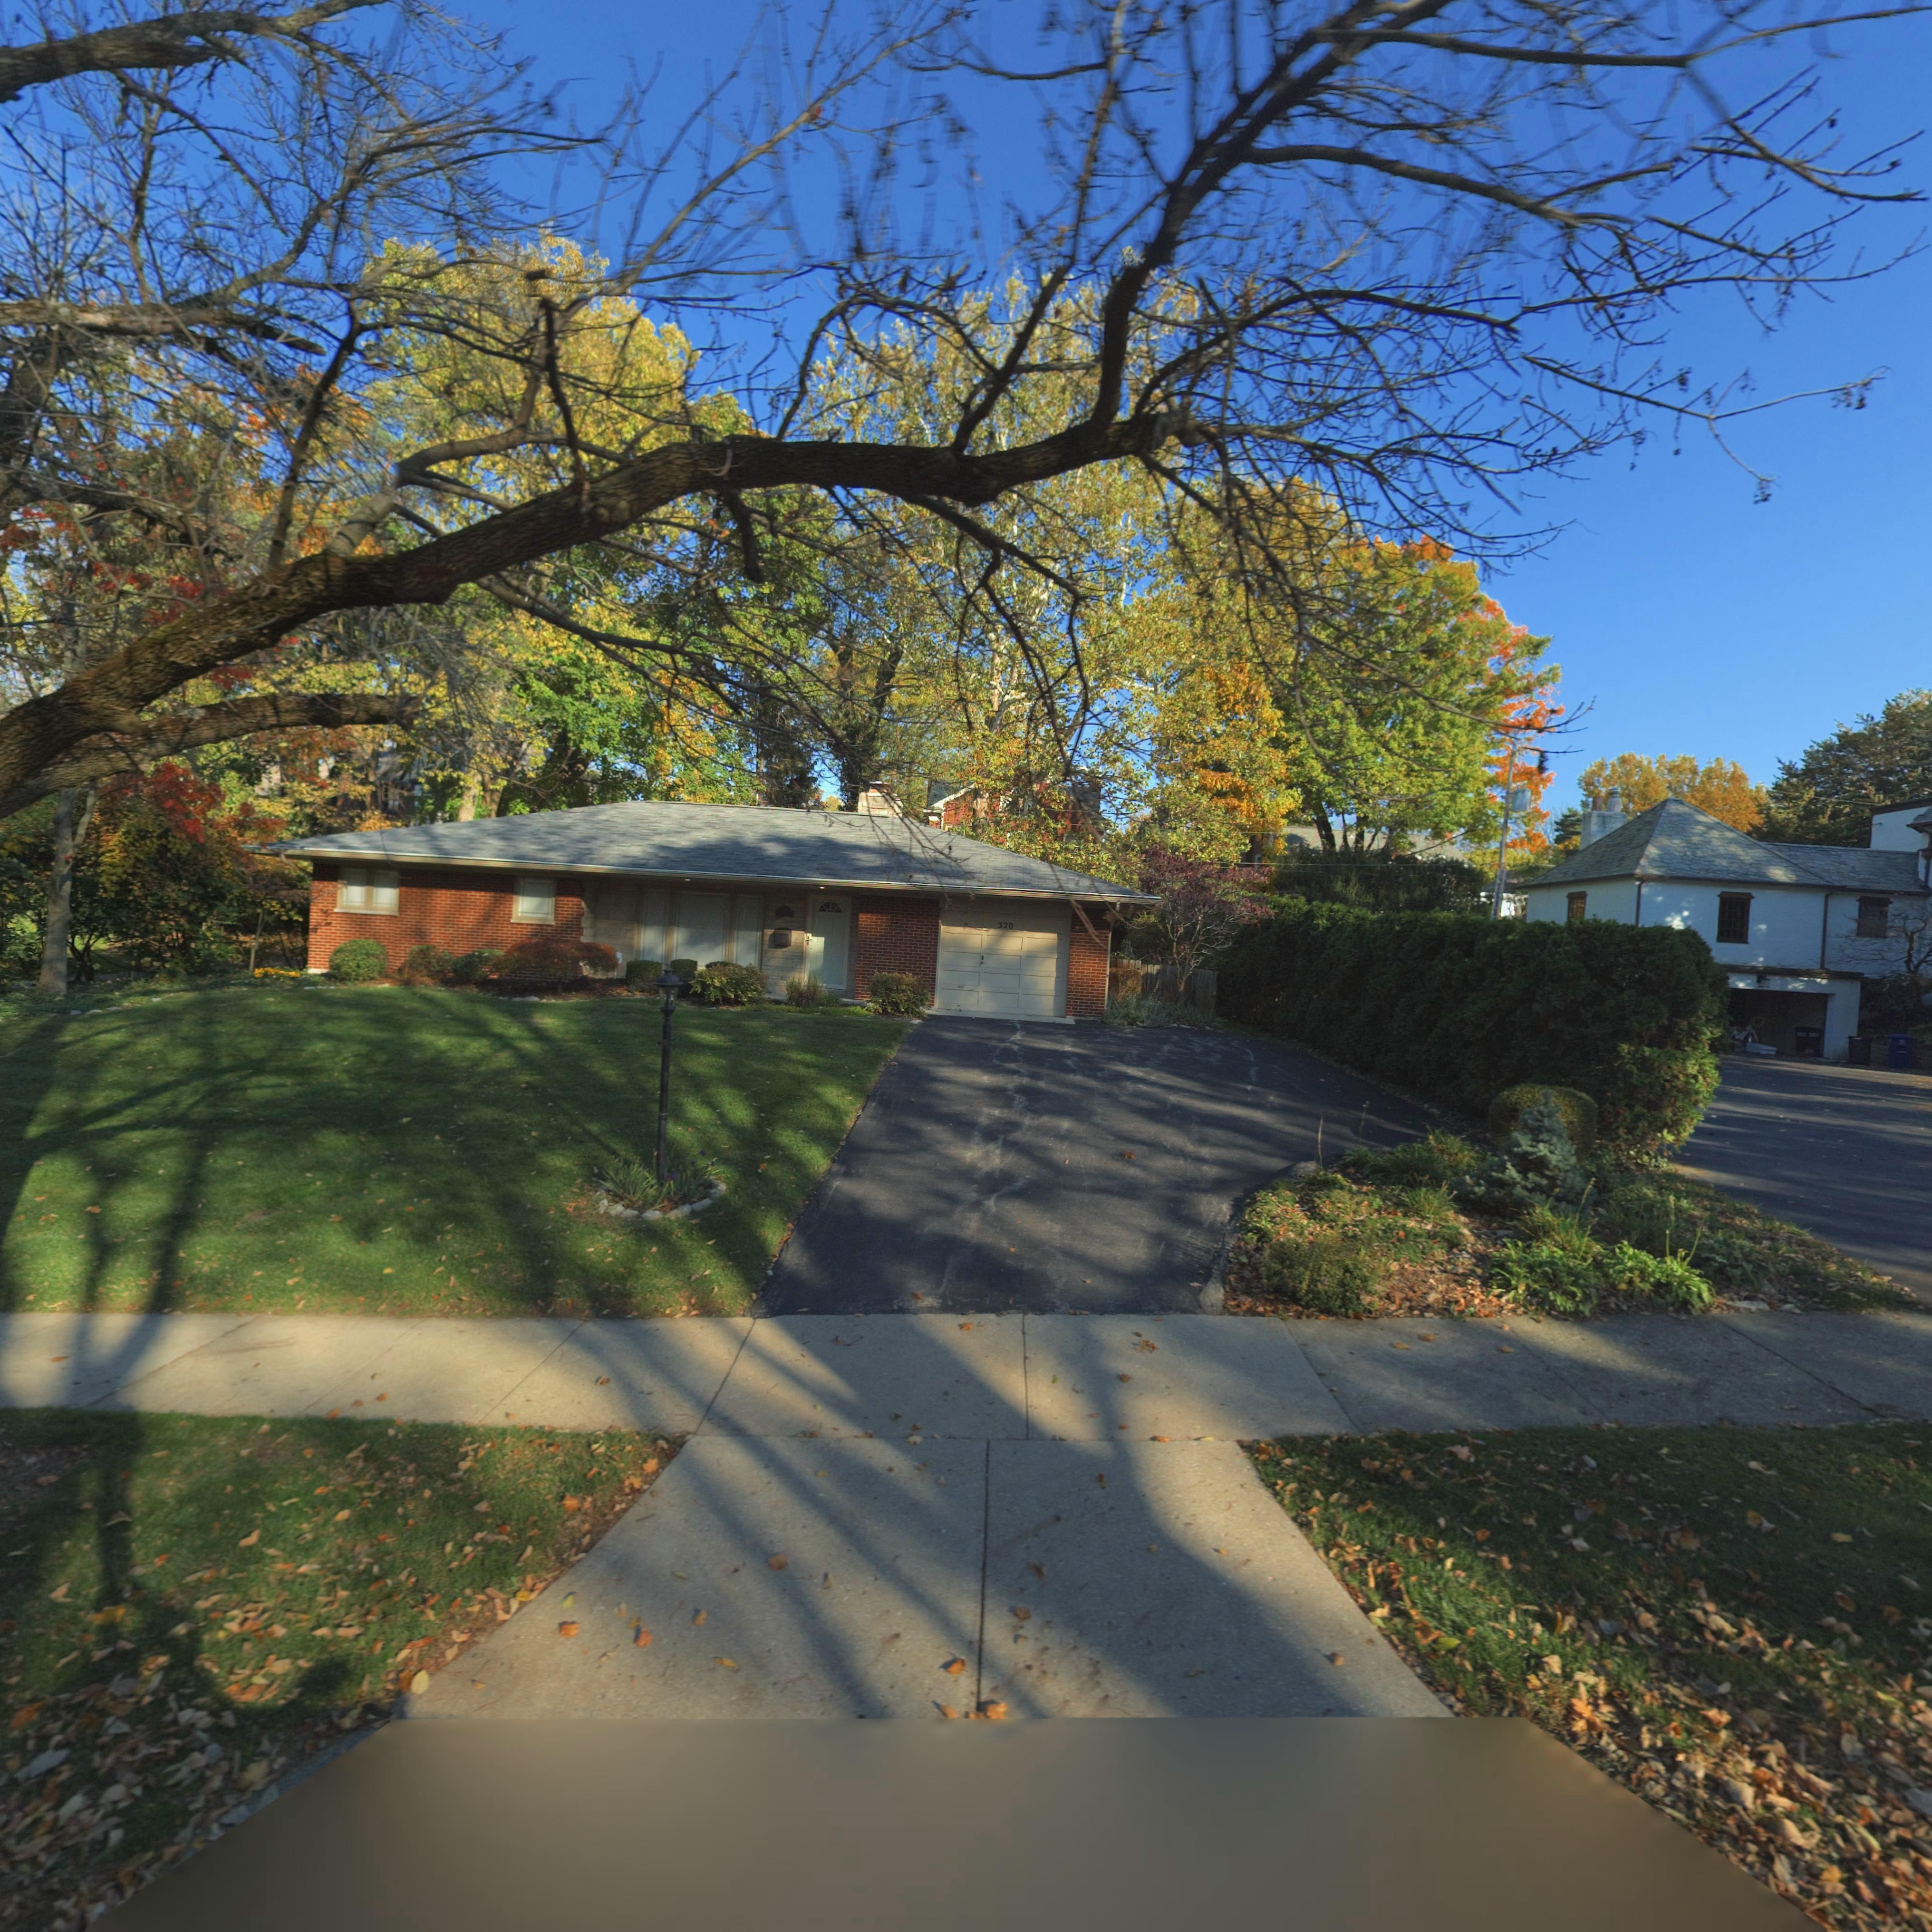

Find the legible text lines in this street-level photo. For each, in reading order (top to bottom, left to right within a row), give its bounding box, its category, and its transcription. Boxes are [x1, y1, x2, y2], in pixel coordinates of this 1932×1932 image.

[997, 921, 1014, 929] StreetNumber: 320